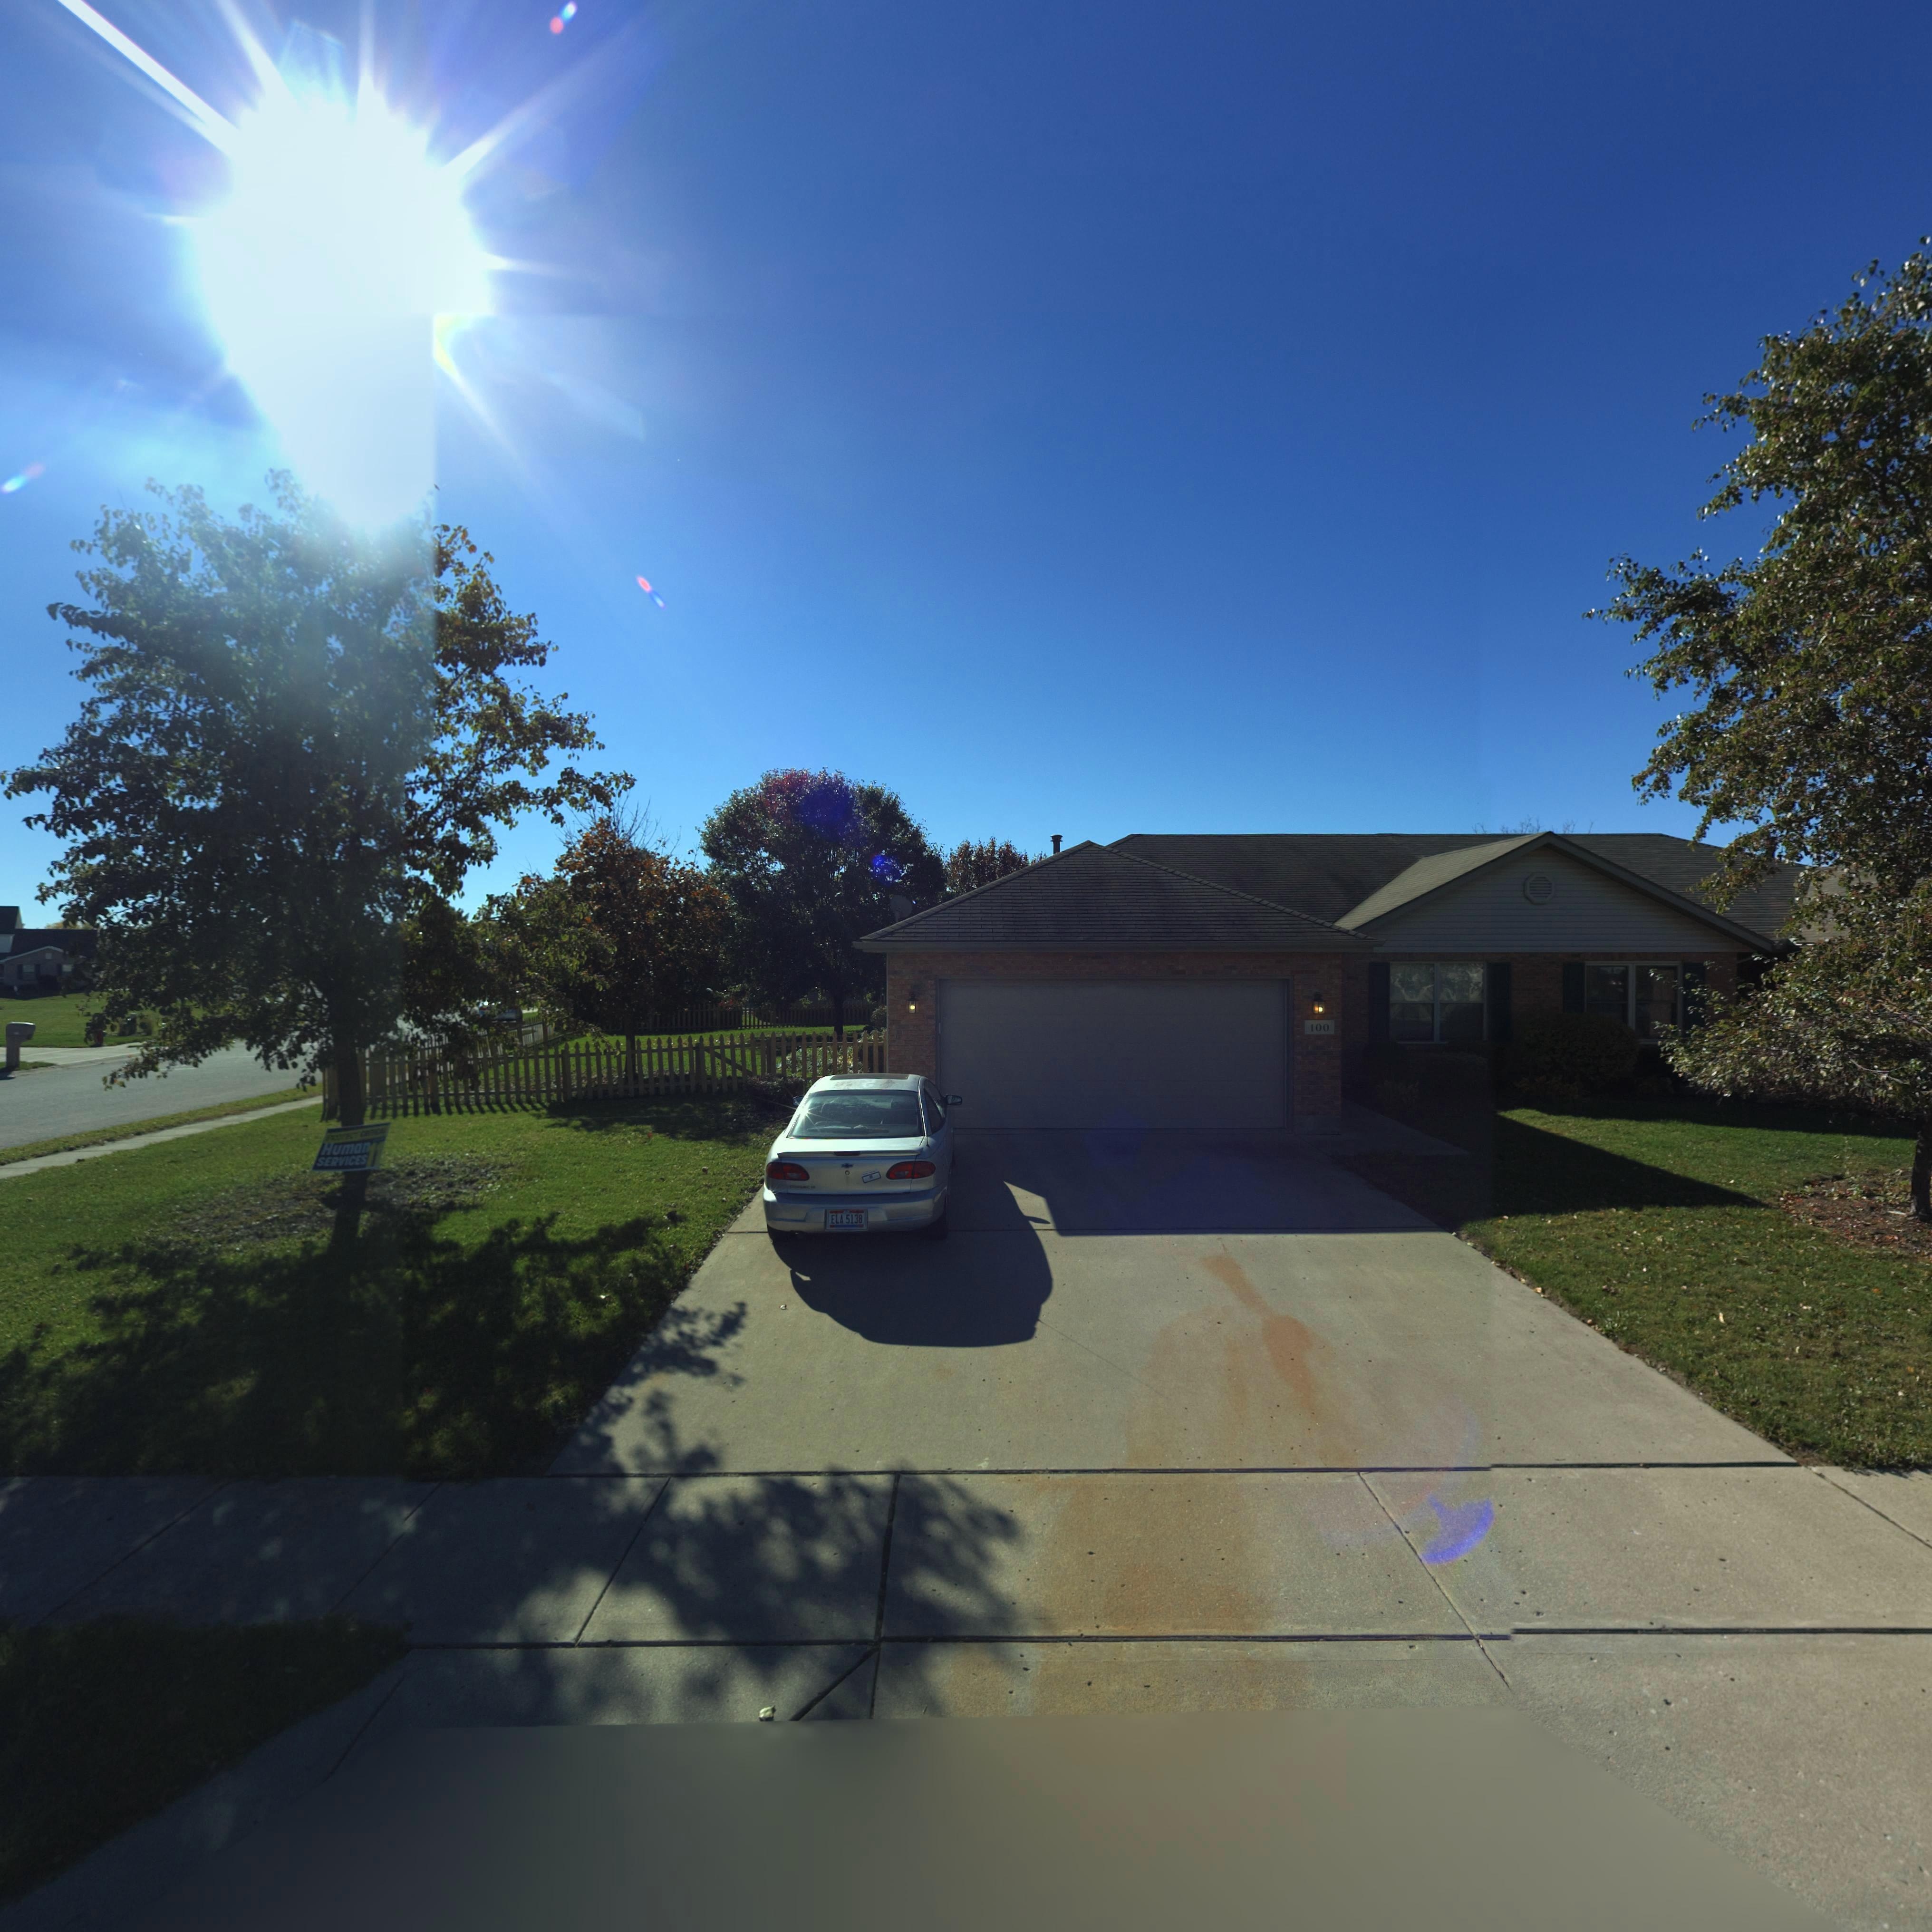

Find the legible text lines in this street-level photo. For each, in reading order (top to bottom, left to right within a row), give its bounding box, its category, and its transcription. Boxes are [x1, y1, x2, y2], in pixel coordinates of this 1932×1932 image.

[1310, 1023, 1329, 1032] StreetNumber: 100
[318, 1141, 372, 1158] None: Human
[314, 1153, 370, 1169] None: SERVICES
[831, 1213, 864, 1225] None: ELA 5138